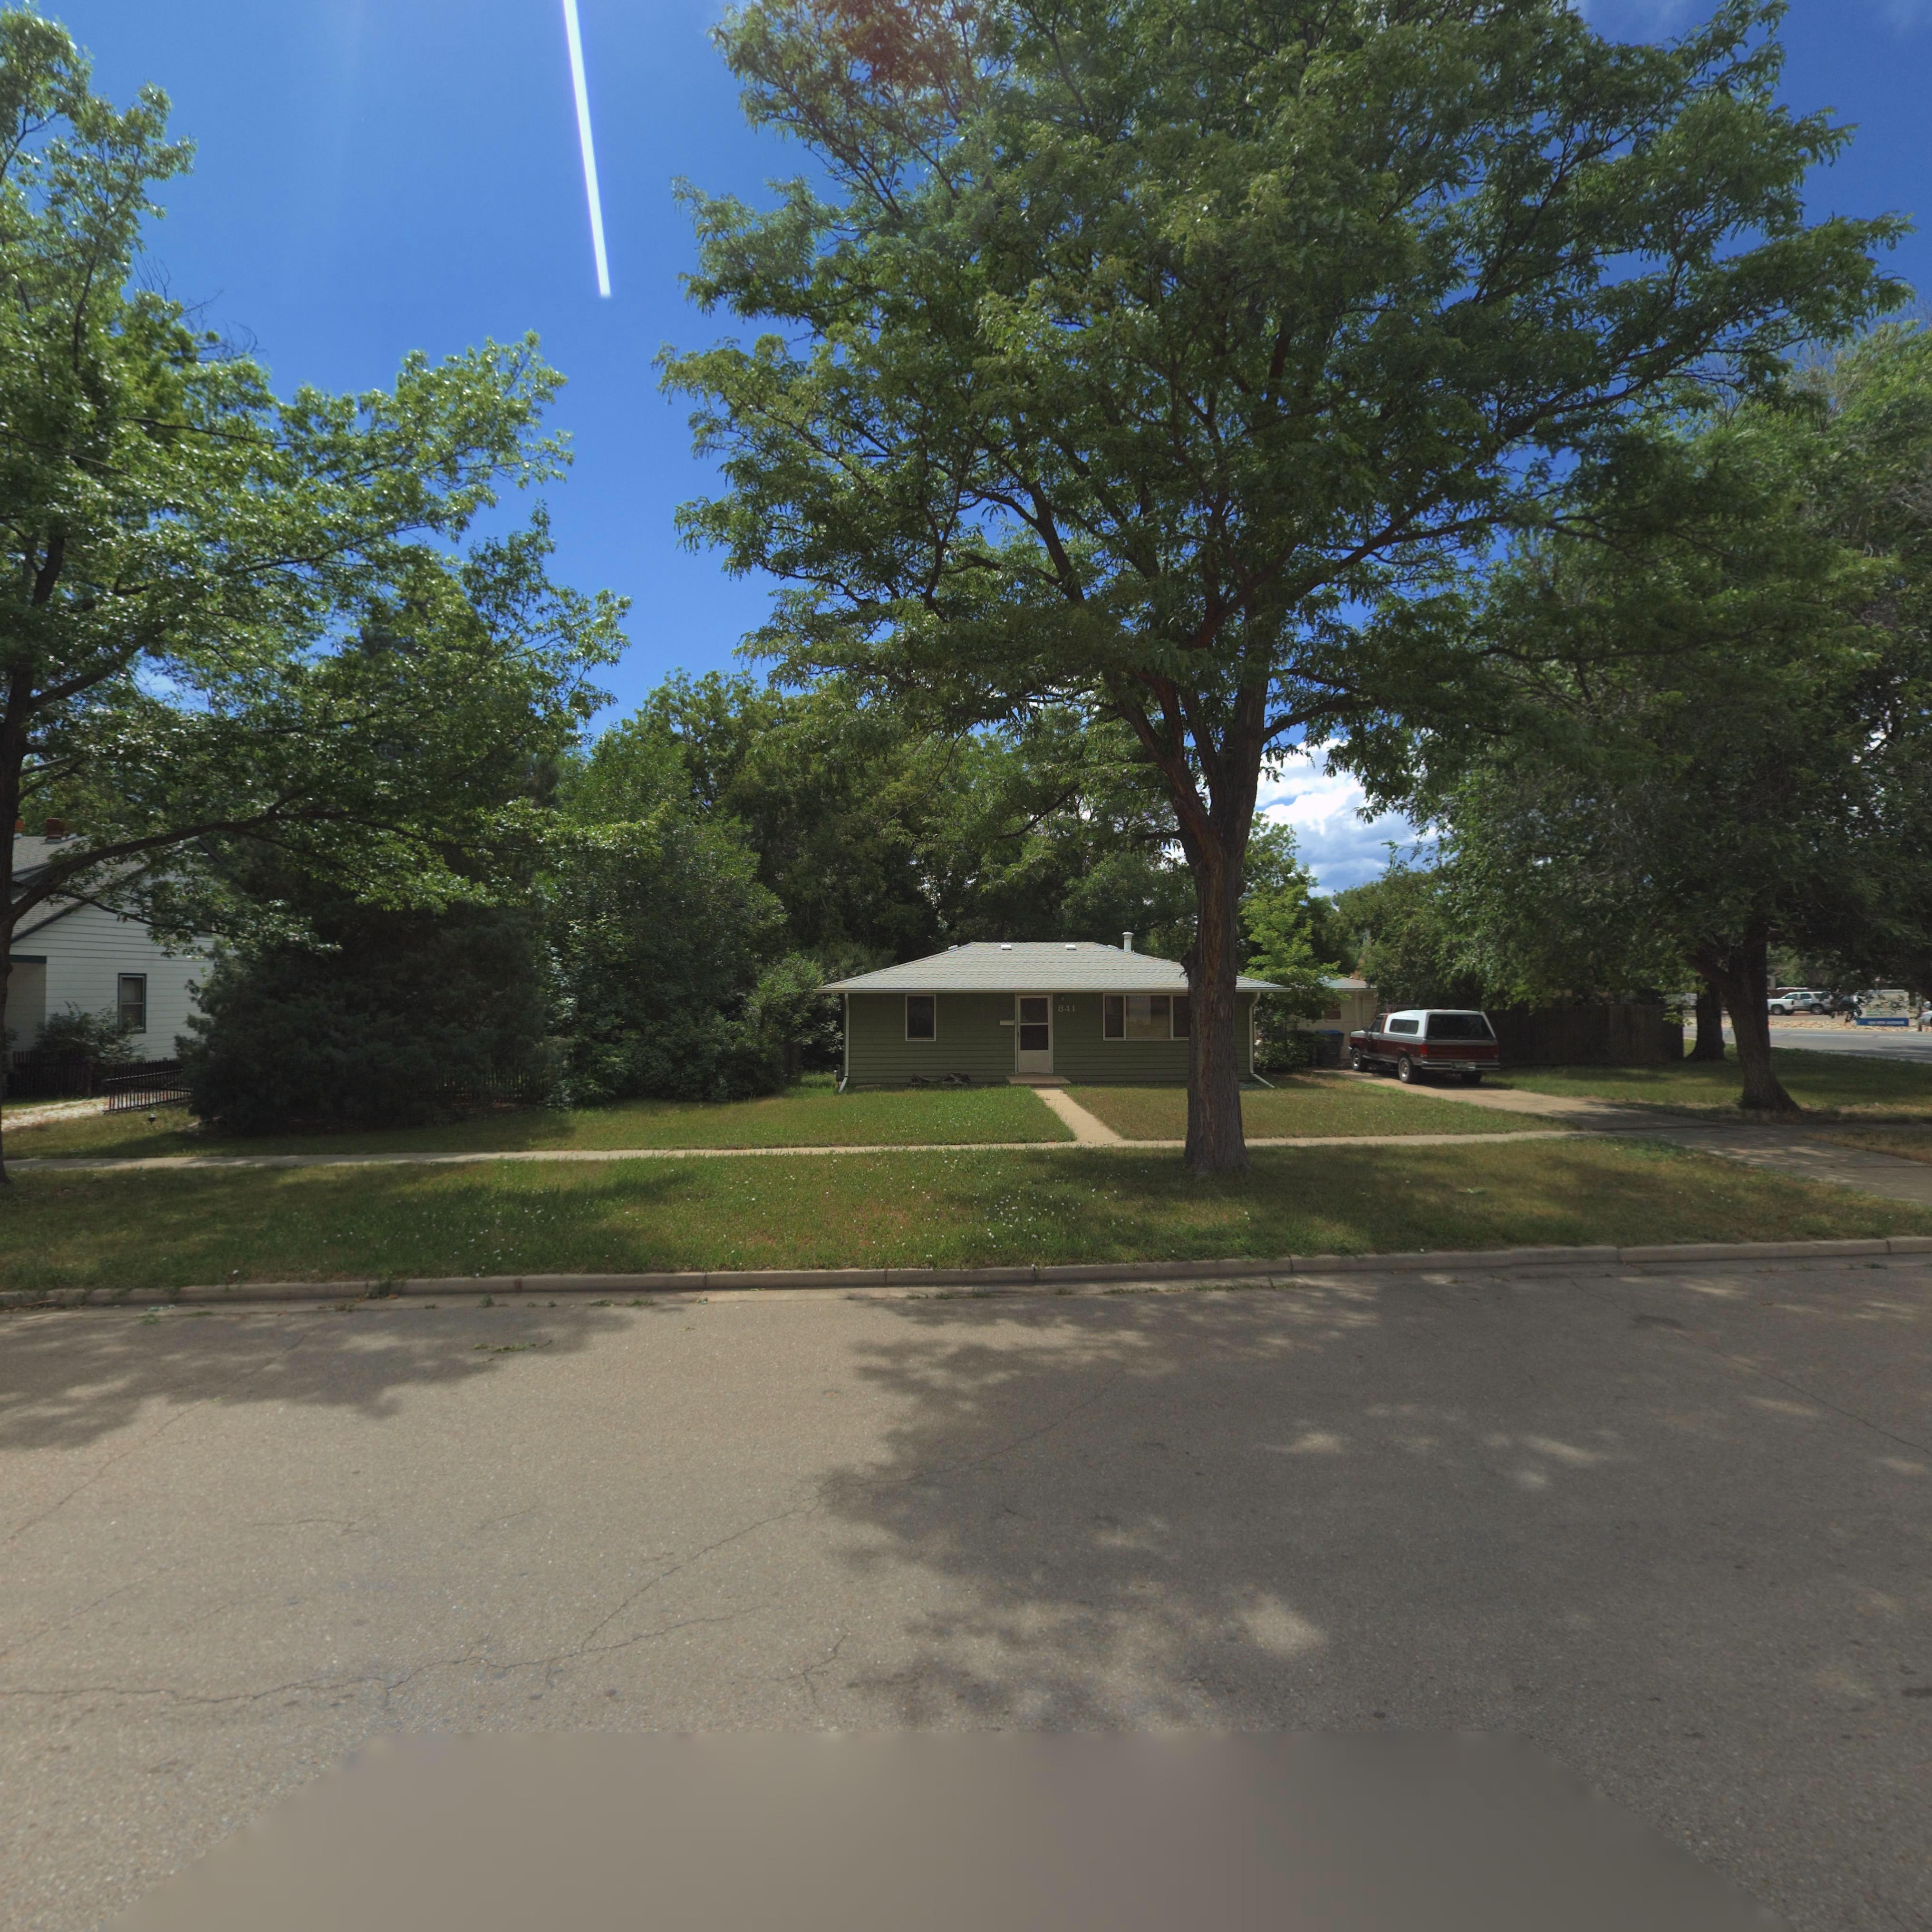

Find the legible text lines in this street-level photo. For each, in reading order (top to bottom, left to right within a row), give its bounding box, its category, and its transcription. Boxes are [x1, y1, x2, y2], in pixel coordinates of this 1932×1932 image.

[1057, 1004, 1075, 1012] StreetNumber: 841